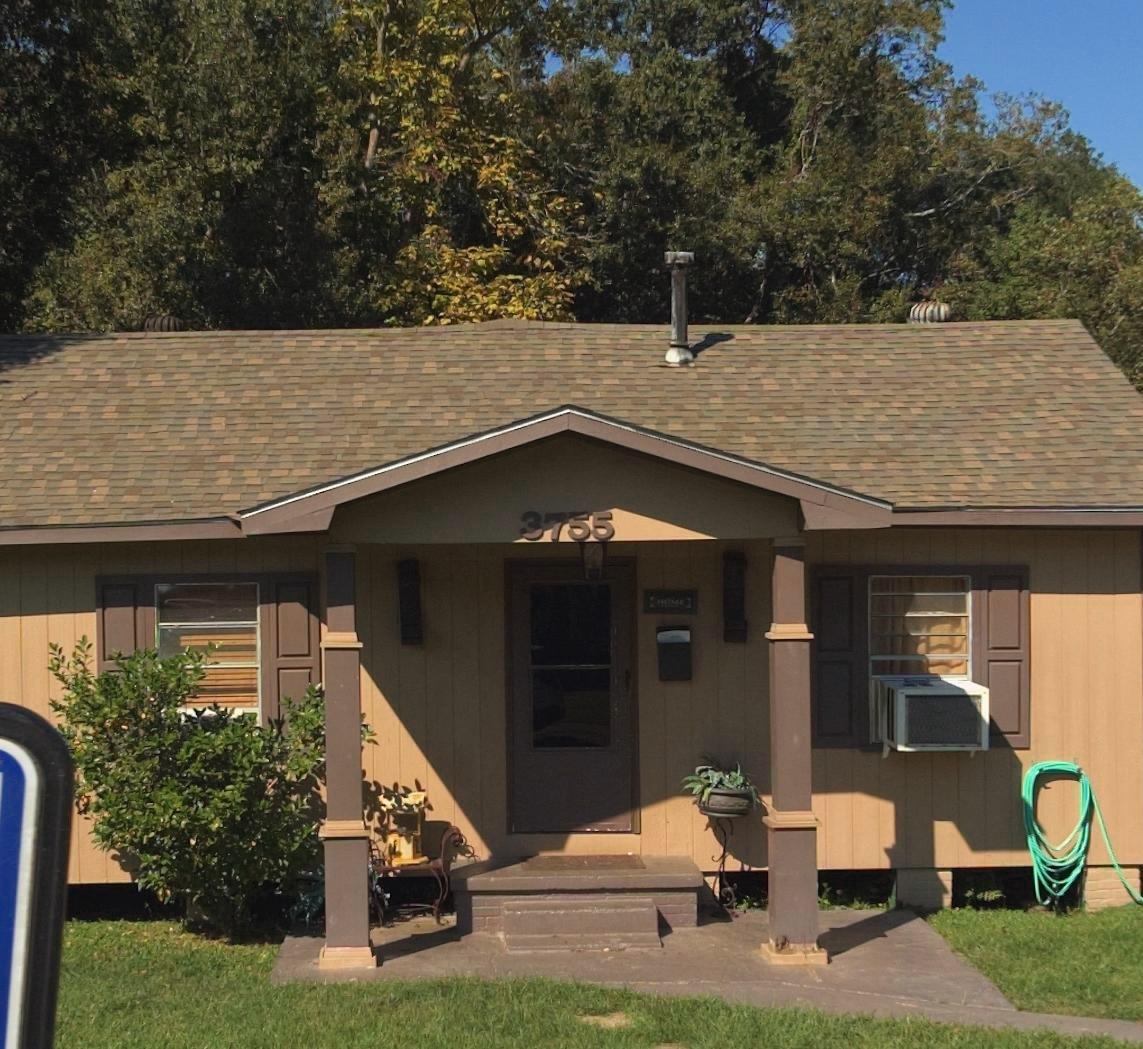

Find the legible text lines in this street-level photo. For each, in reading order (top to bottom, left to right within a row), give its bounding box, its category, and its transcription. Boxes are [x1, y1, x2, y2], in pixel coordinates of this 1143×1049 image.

[518, 510, 616, 544] StreetNumber: 3755
[654, 598, 687, 607] None: HOME